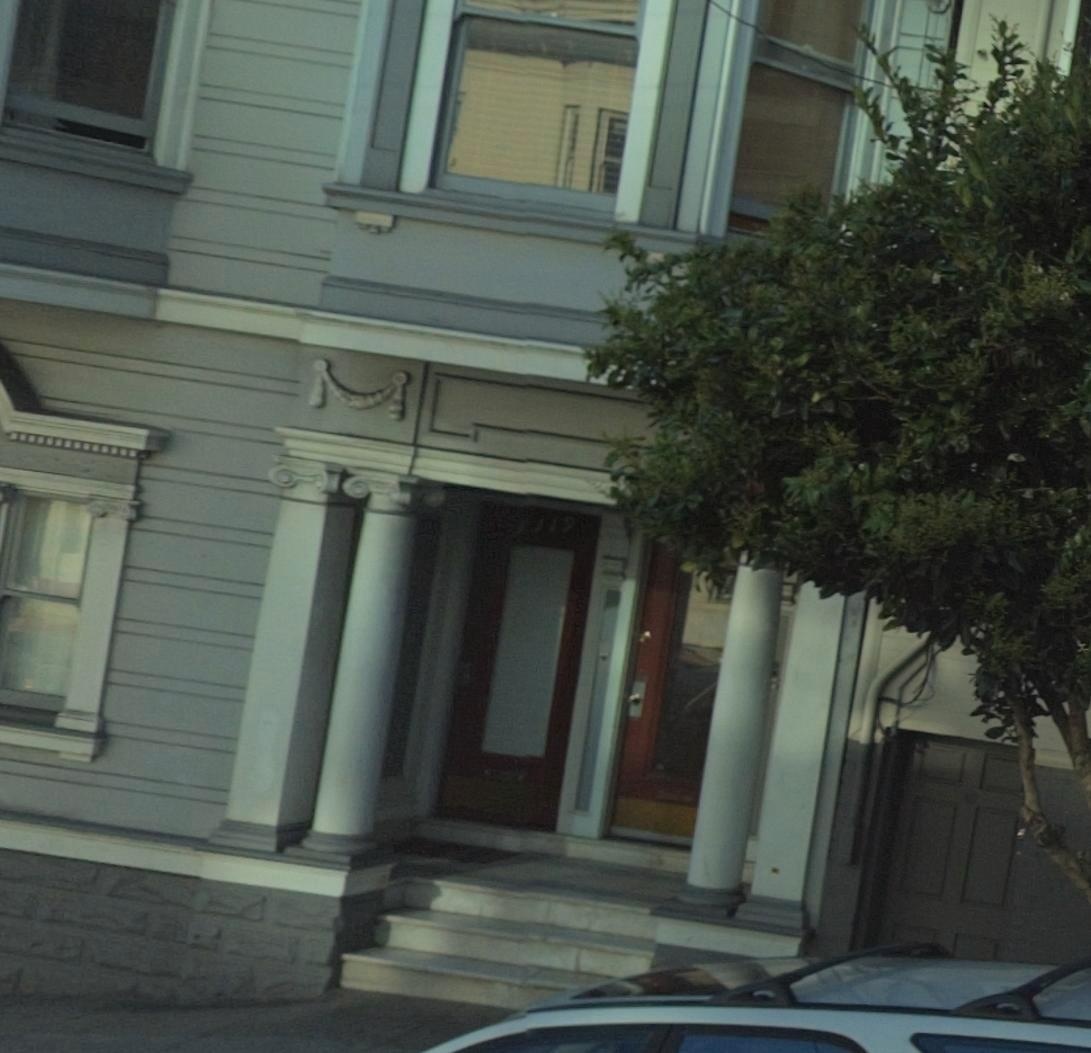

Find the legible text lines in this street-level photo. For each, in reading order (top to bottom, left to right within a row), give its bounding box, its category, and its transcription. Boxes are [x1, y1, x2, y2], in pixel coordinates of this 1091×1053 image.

[513, 514, 578, 536] StreetNumber: 1119